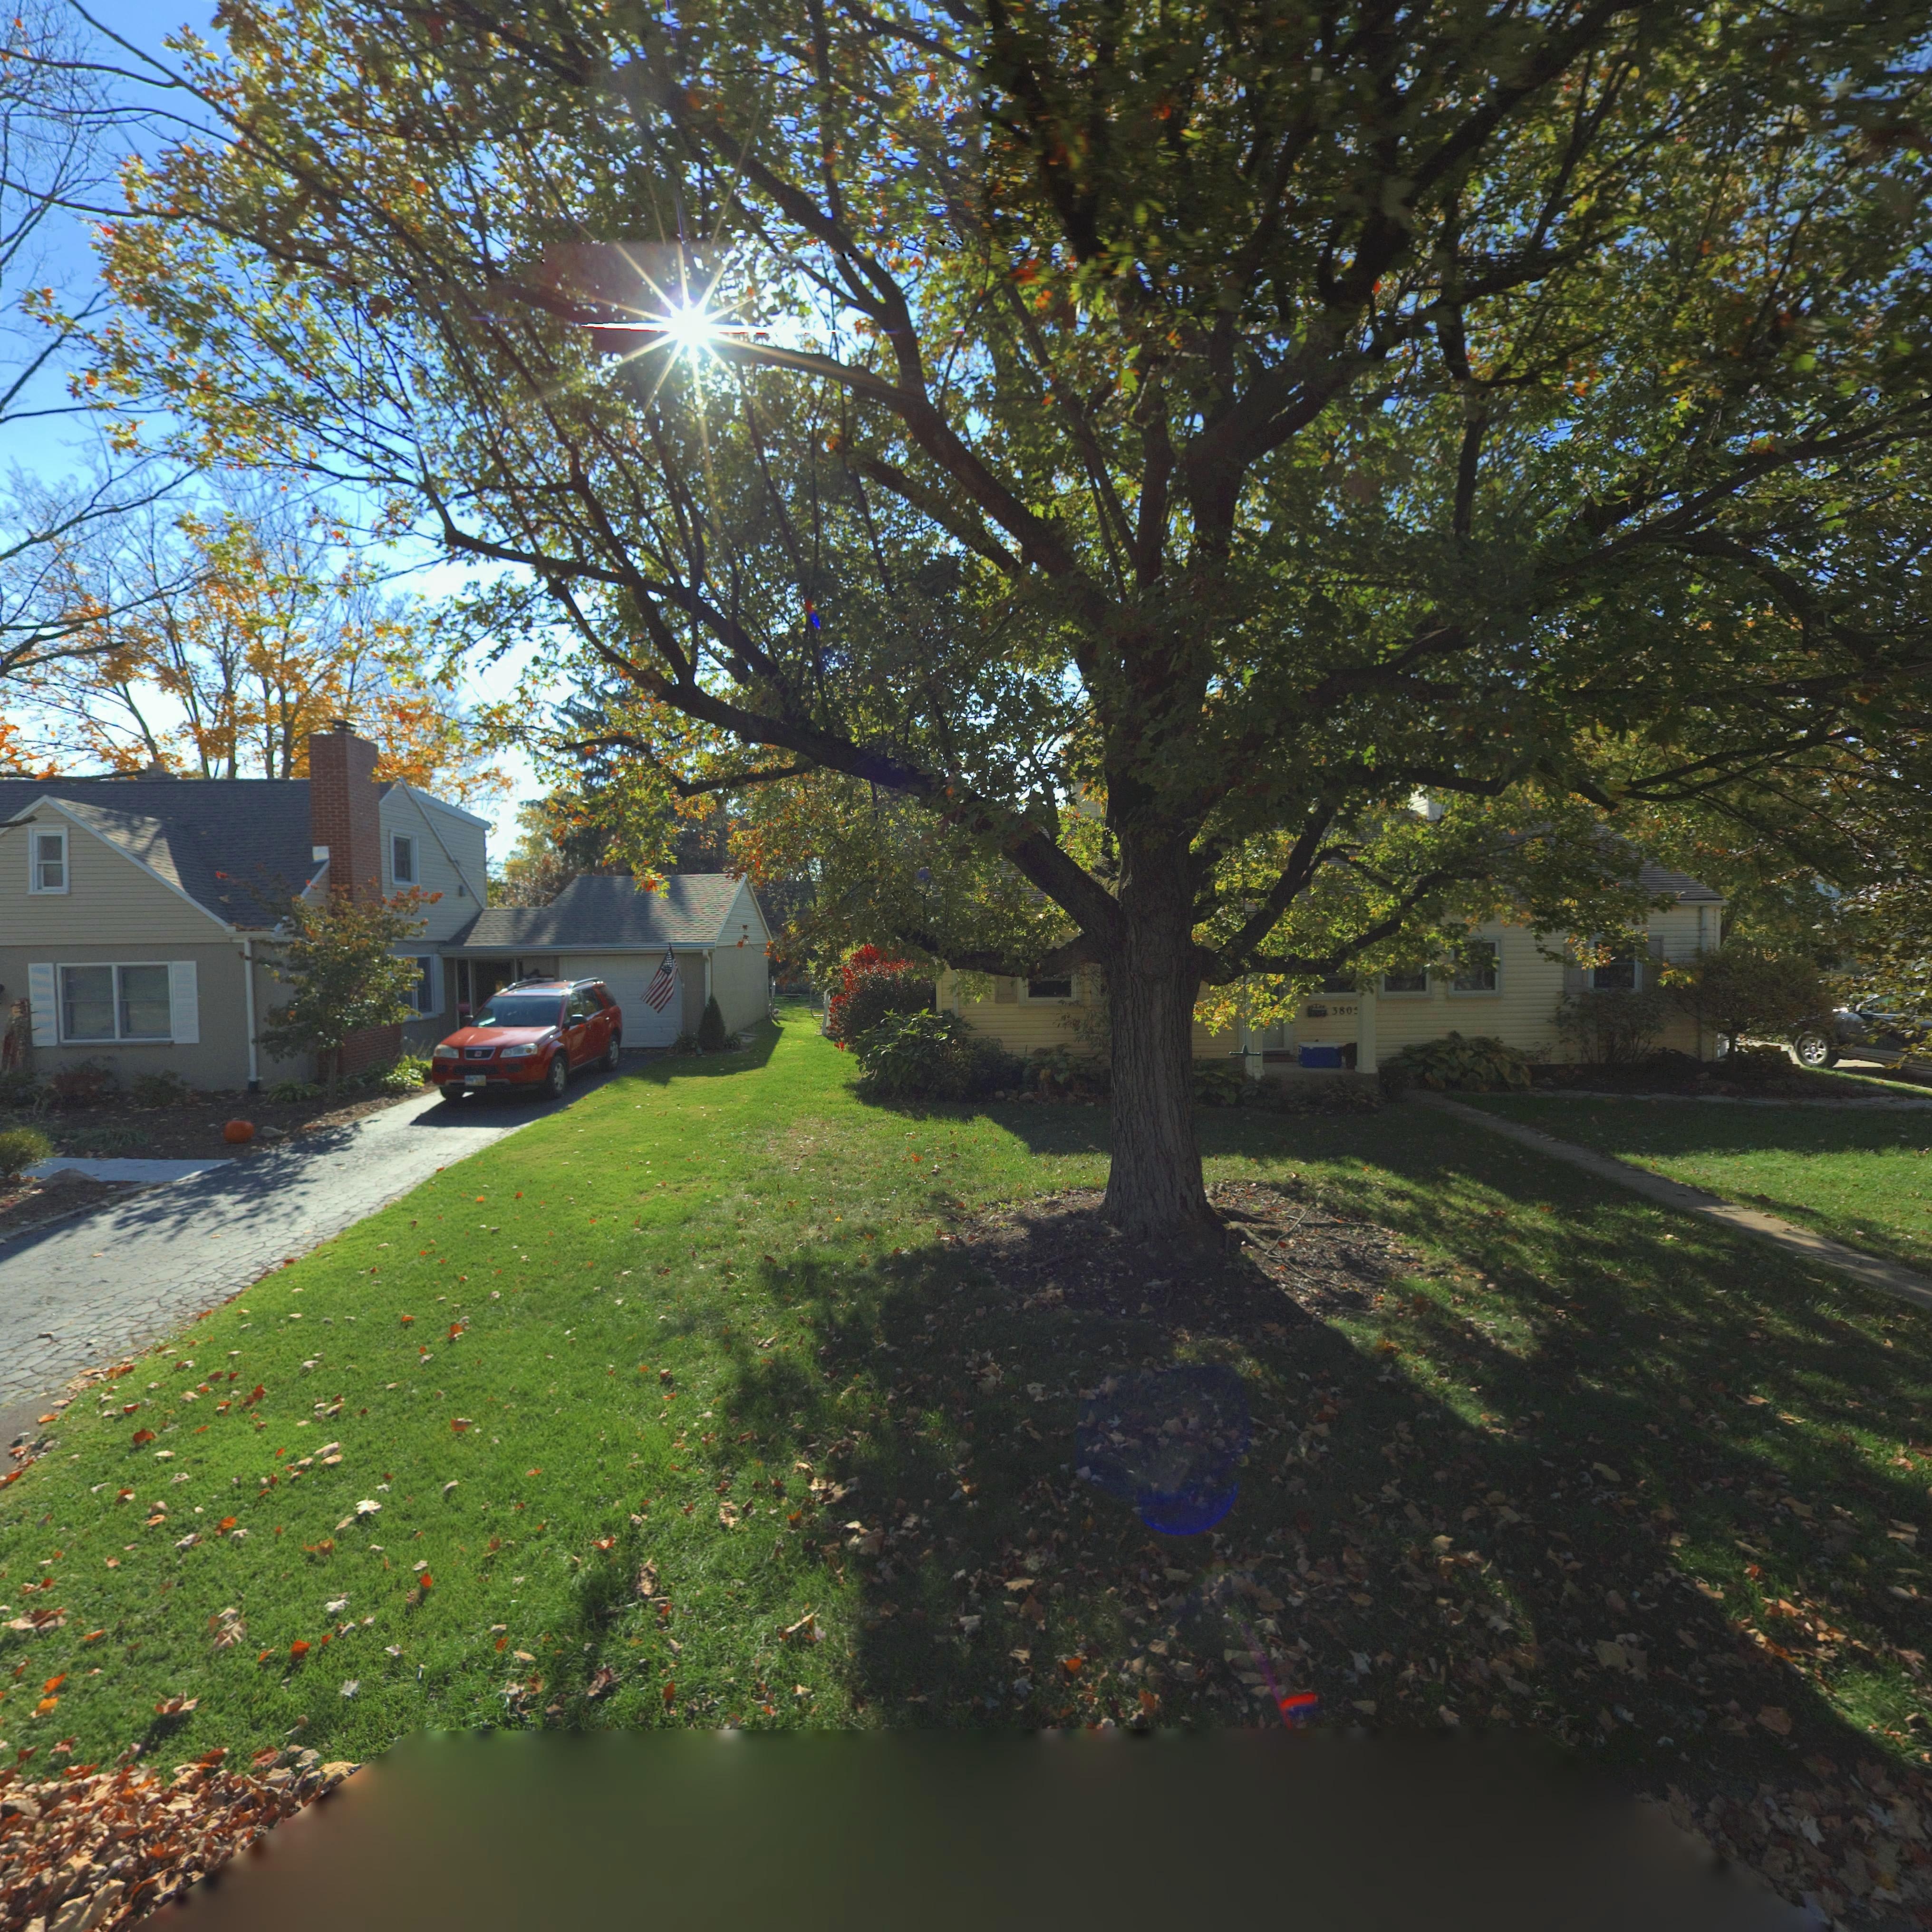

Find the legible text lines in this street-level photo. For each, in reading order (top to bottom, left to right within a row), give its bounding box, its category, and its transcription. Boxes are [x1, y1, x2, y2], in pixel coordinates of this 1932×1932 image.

[1332, 1005, 1352, 1015] StreetNumber: 380